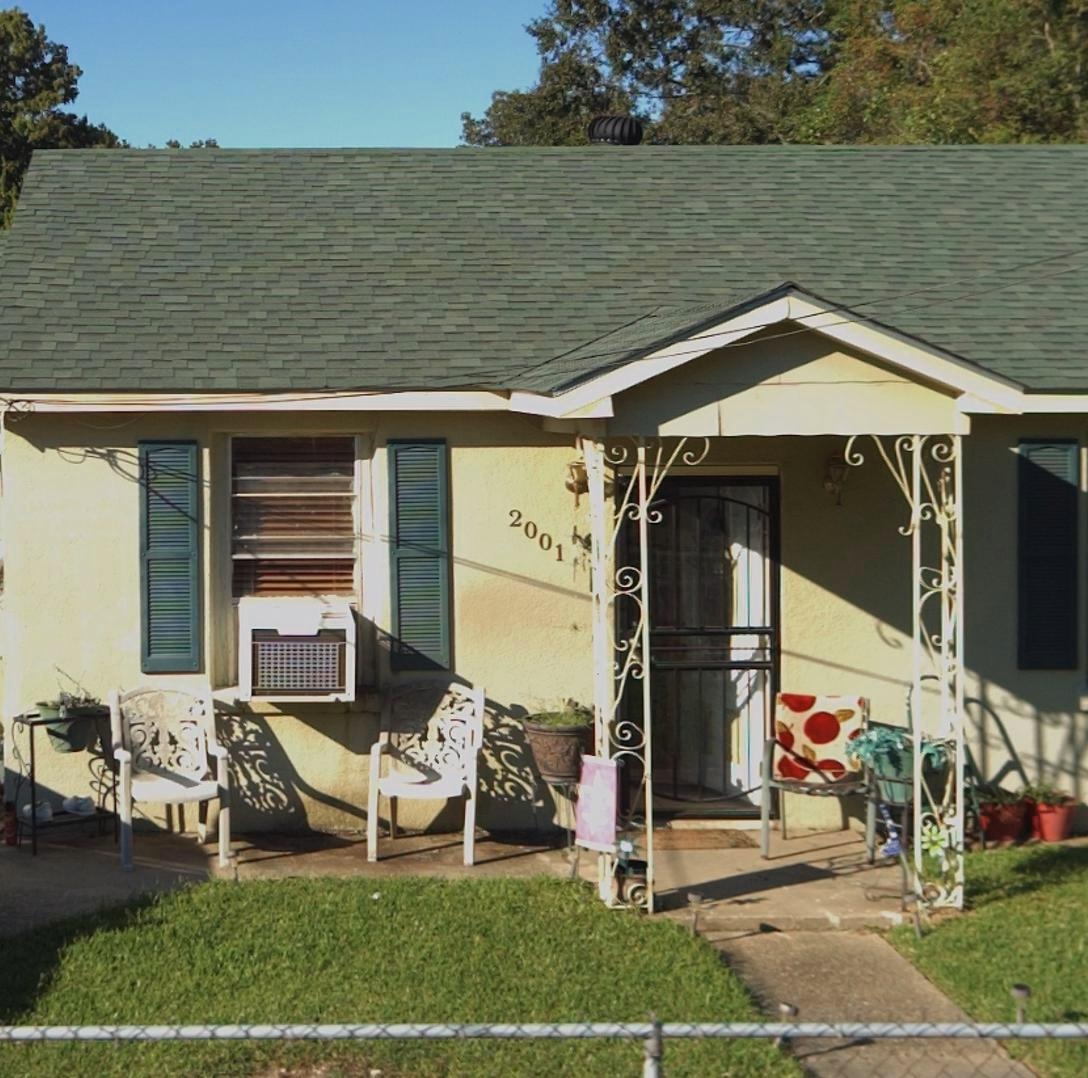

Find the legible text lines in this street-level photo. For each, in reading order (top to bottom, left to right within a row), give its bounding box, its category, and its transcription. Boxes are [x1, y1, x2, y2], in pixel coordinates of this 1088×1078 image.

[507, 507, 564, 562] StreetNumber: 2001